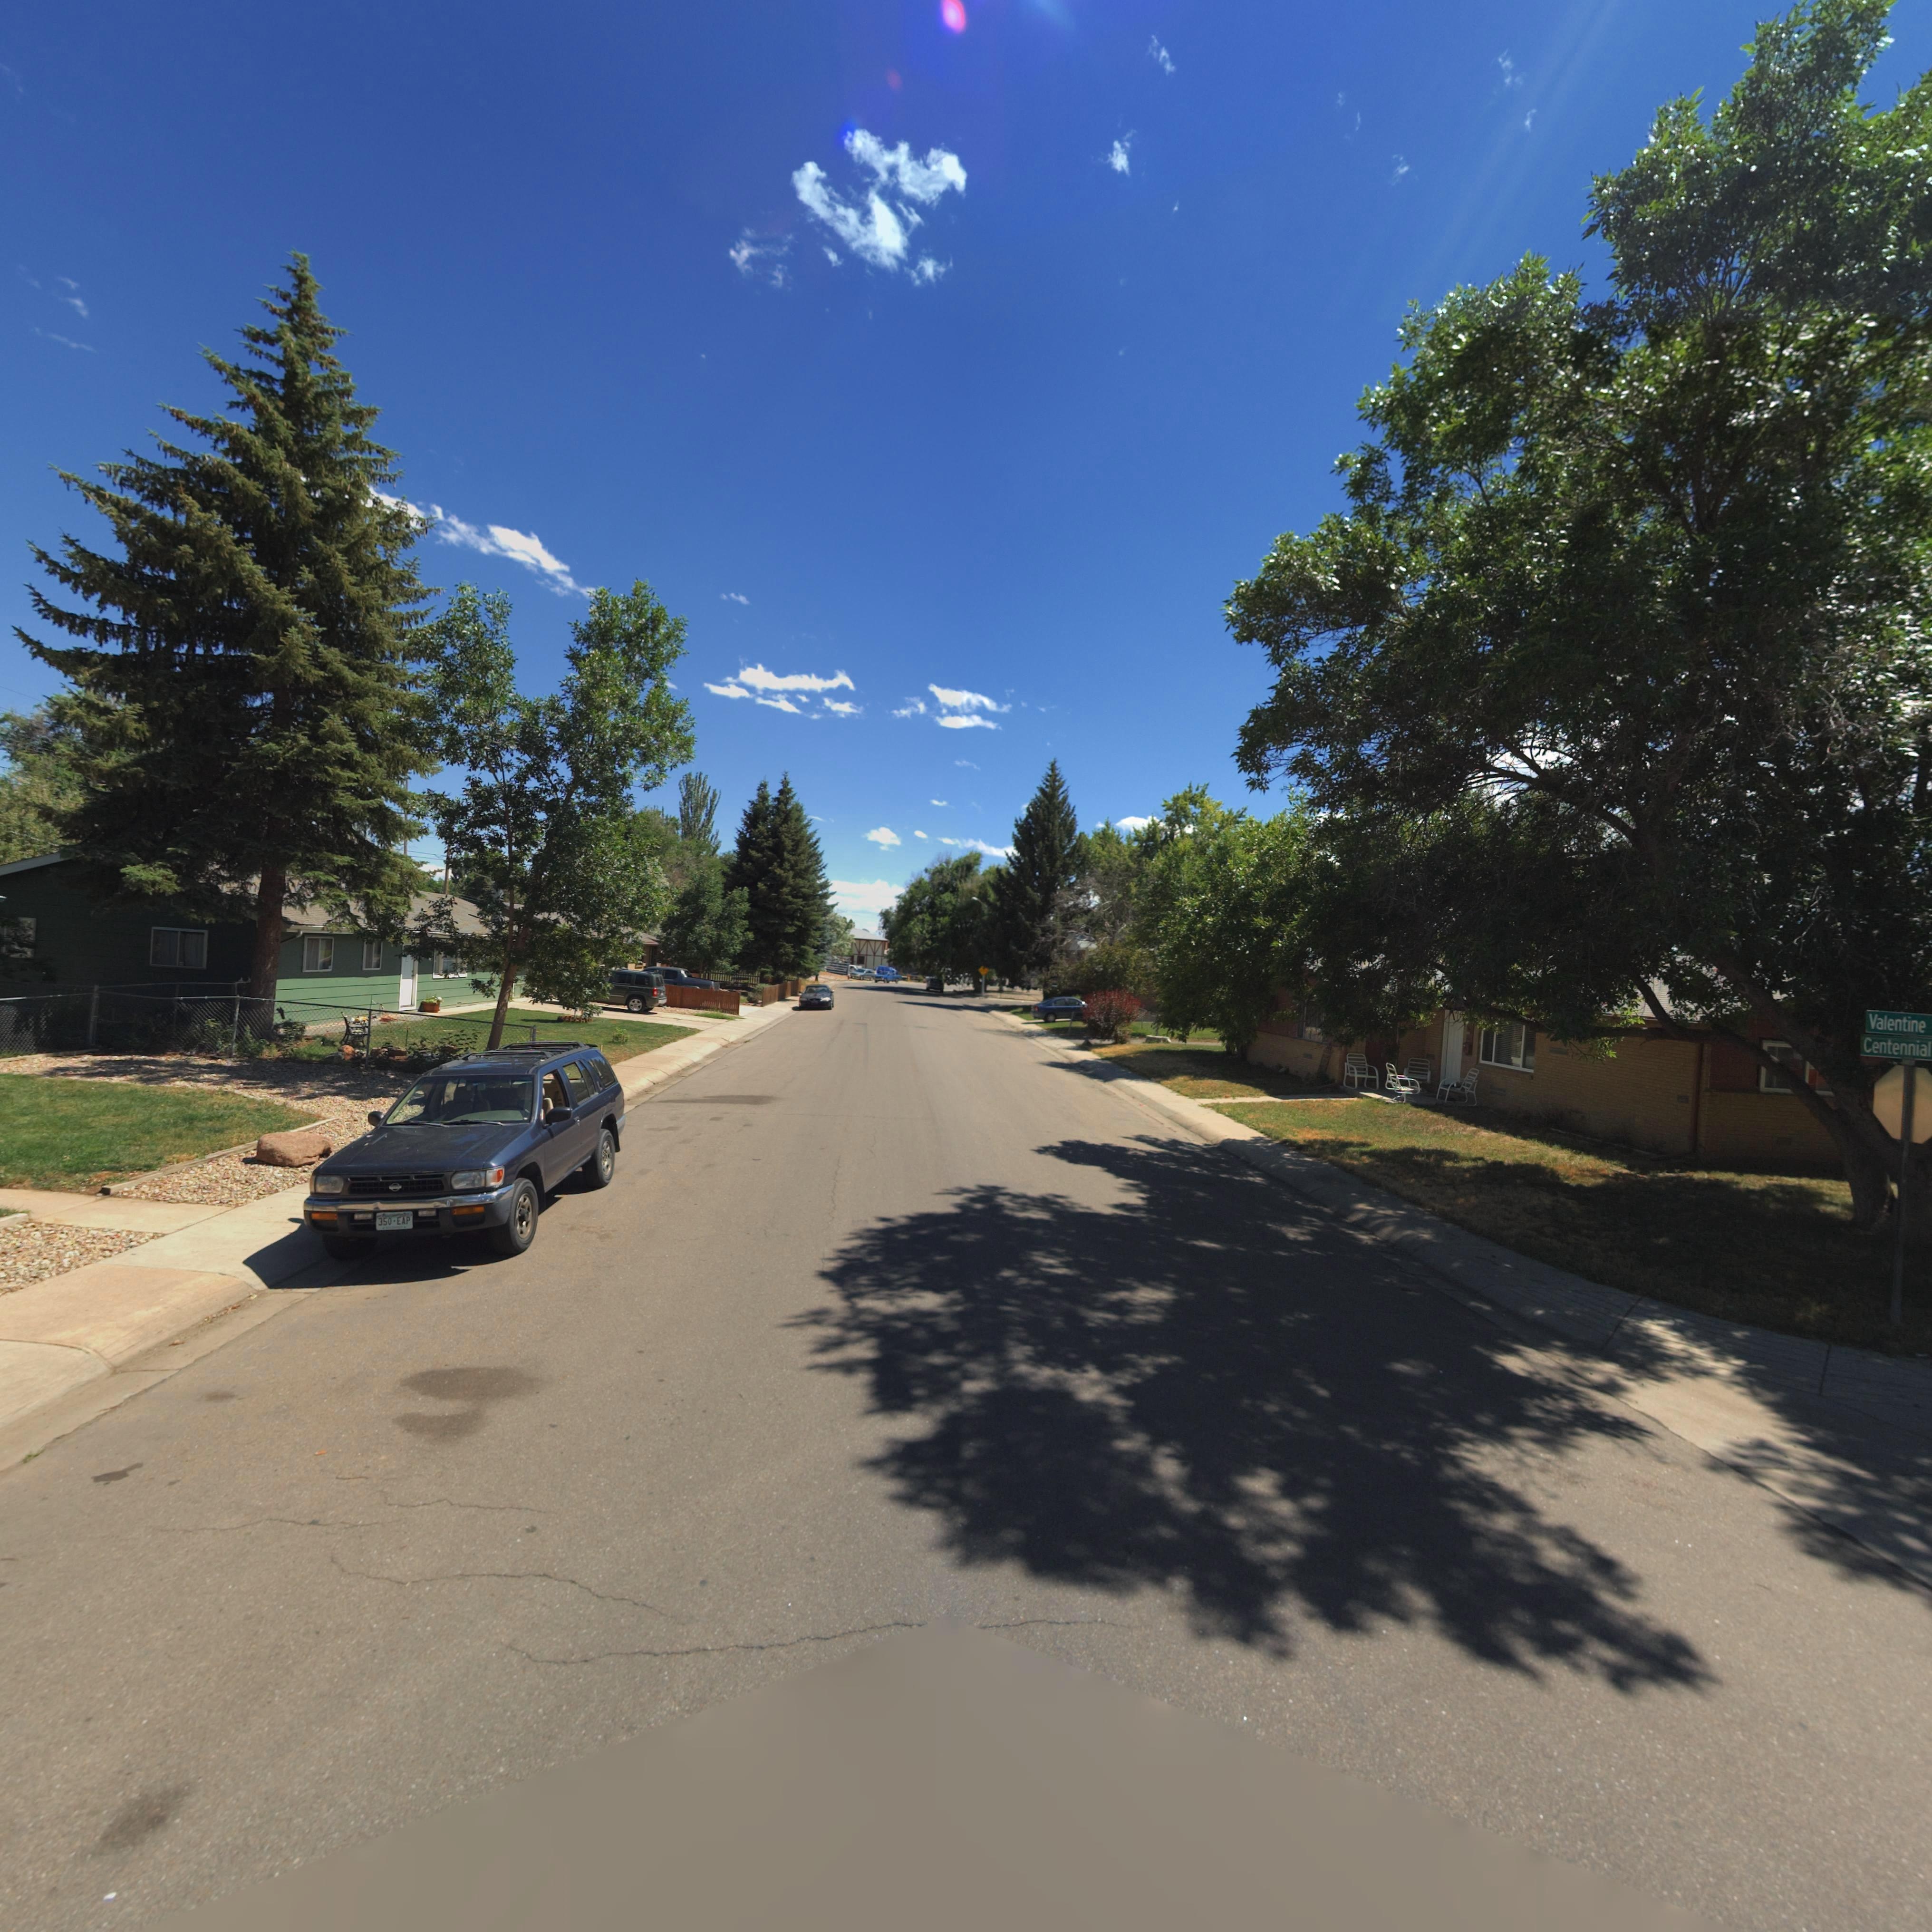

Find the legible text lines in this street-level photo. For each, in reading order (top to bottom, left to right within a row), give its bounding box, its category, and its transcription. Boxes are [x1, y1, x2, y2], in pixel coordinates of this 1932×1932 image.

[1868, 1013, 1926, 1033] StreetName: Valentine
[1863, 1036, 1931, 1057] StreetName: Centennial